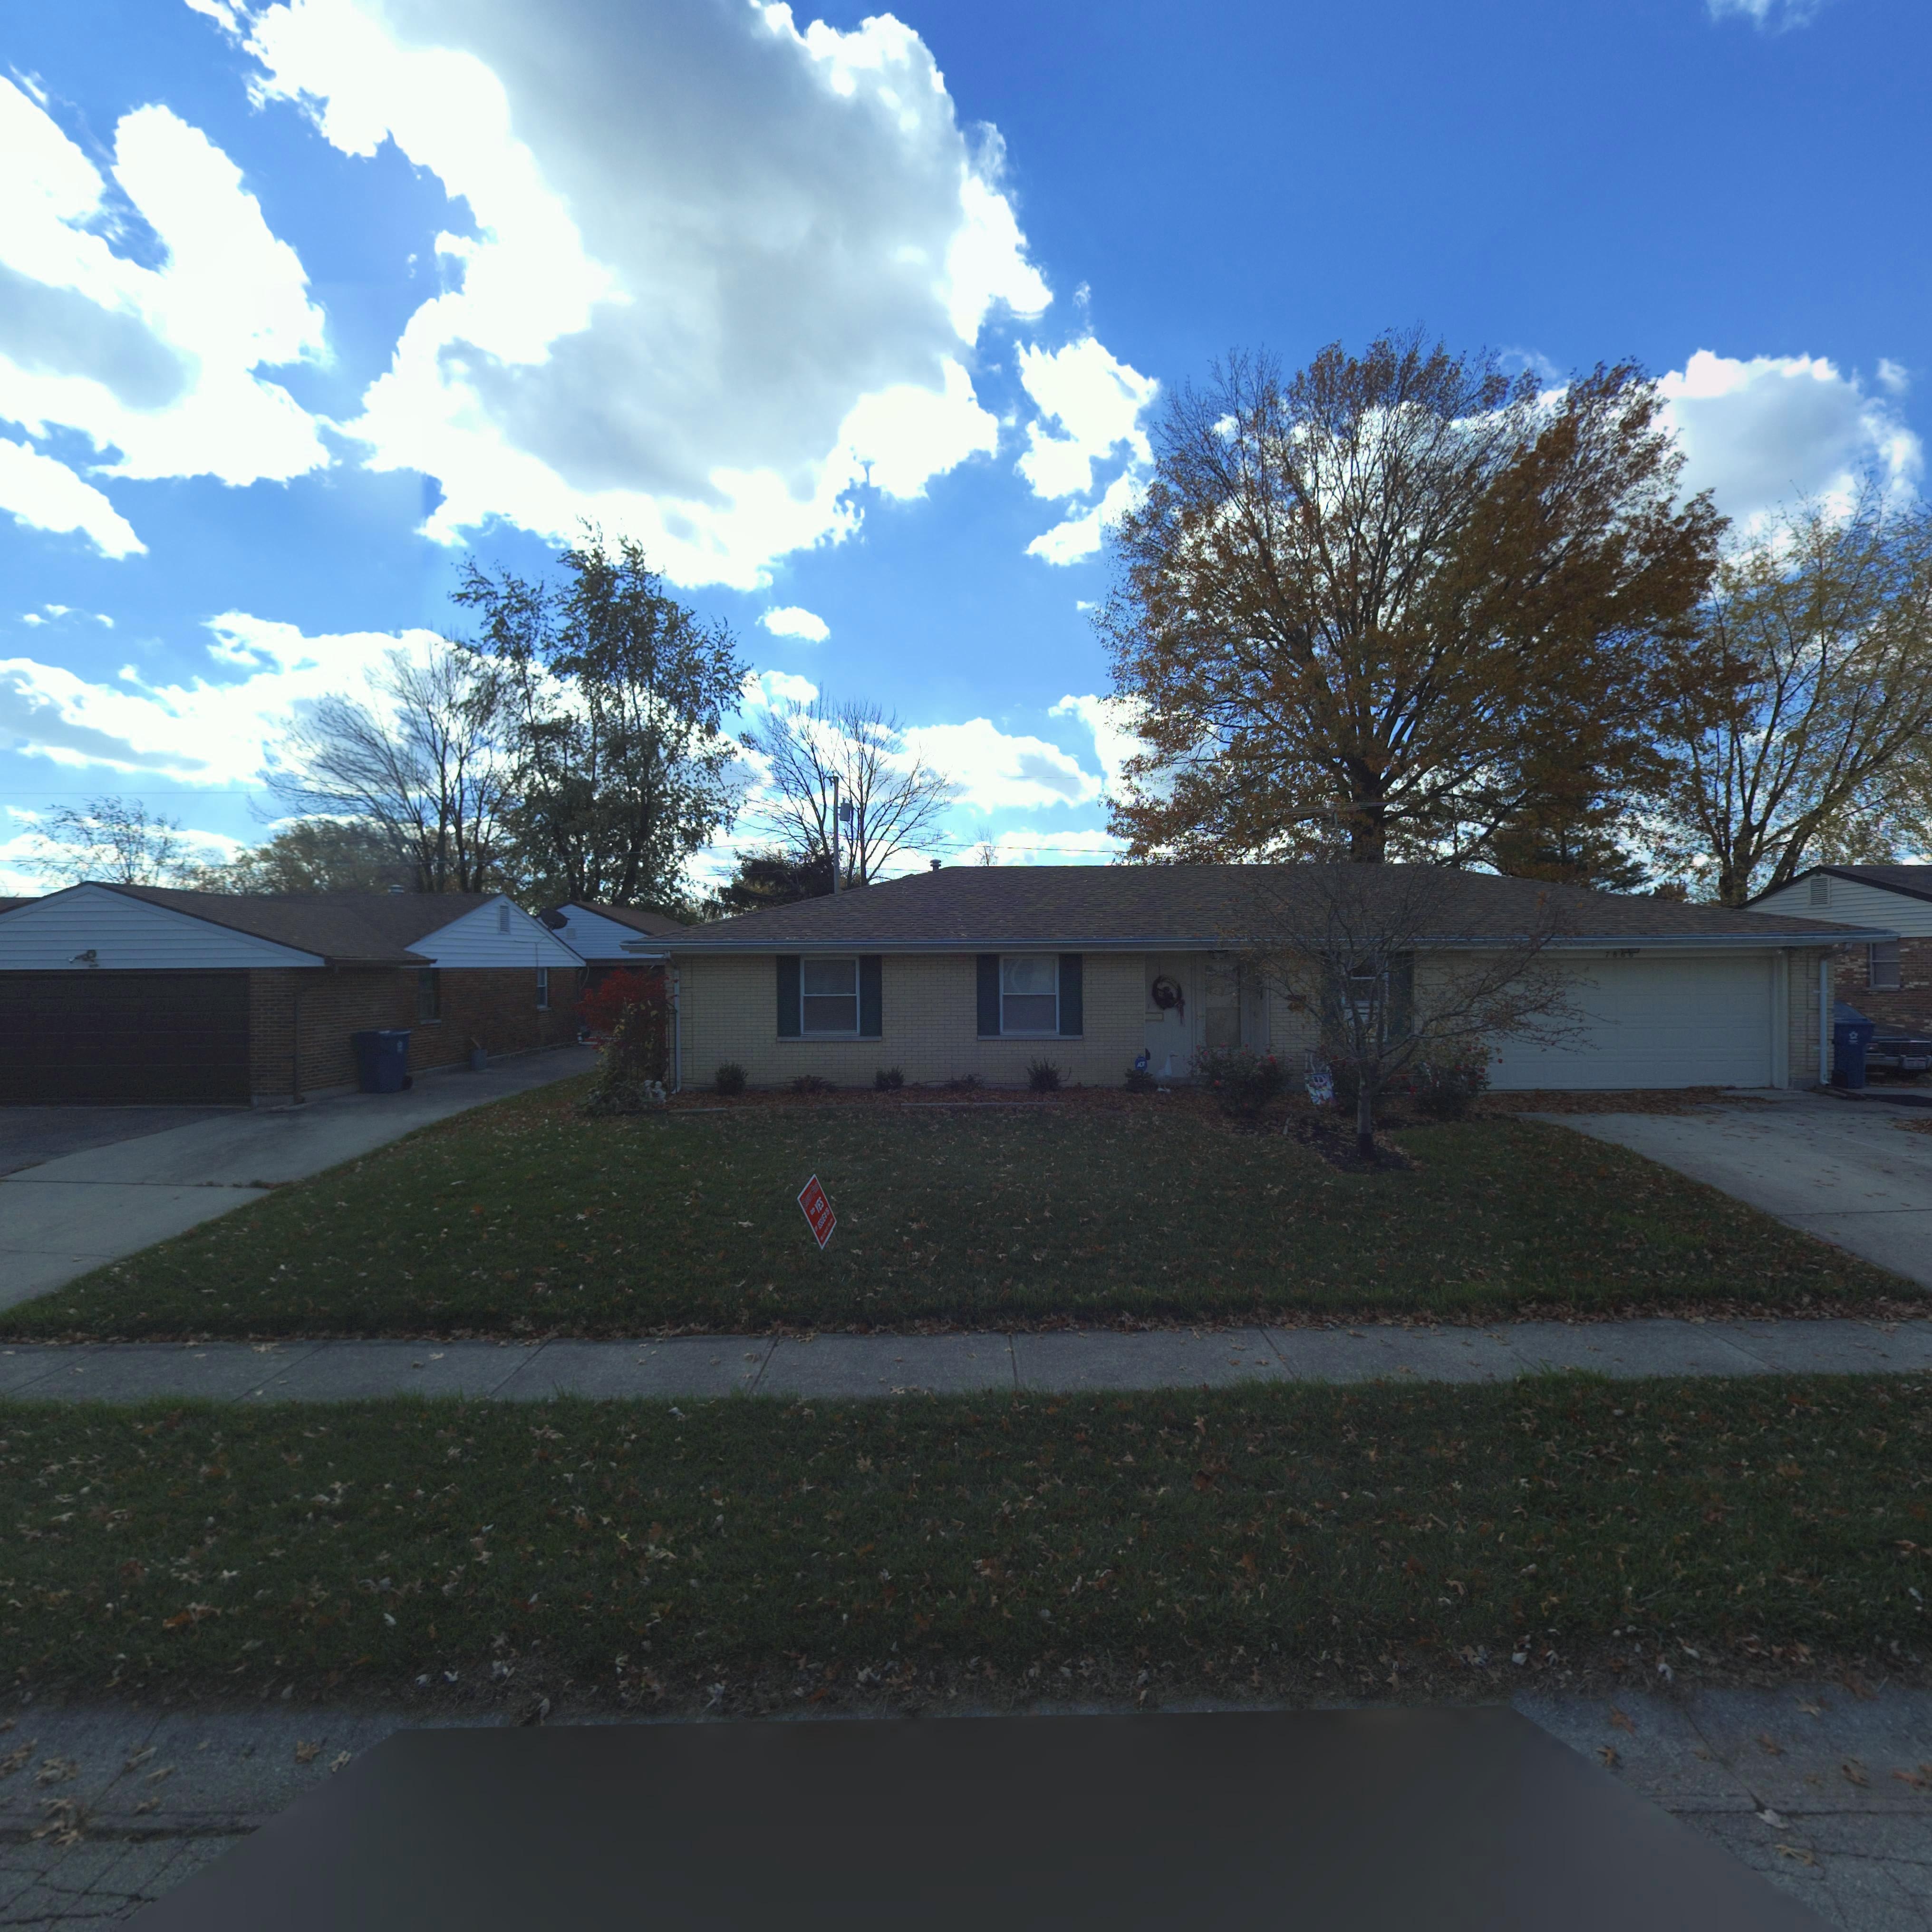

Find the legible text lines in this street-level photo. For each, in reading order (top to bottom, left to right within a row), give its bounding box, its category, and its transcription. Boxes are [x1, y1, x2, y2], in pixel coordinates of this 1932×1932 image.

[1604, 950, 1618, 959] StreetNumber: 78